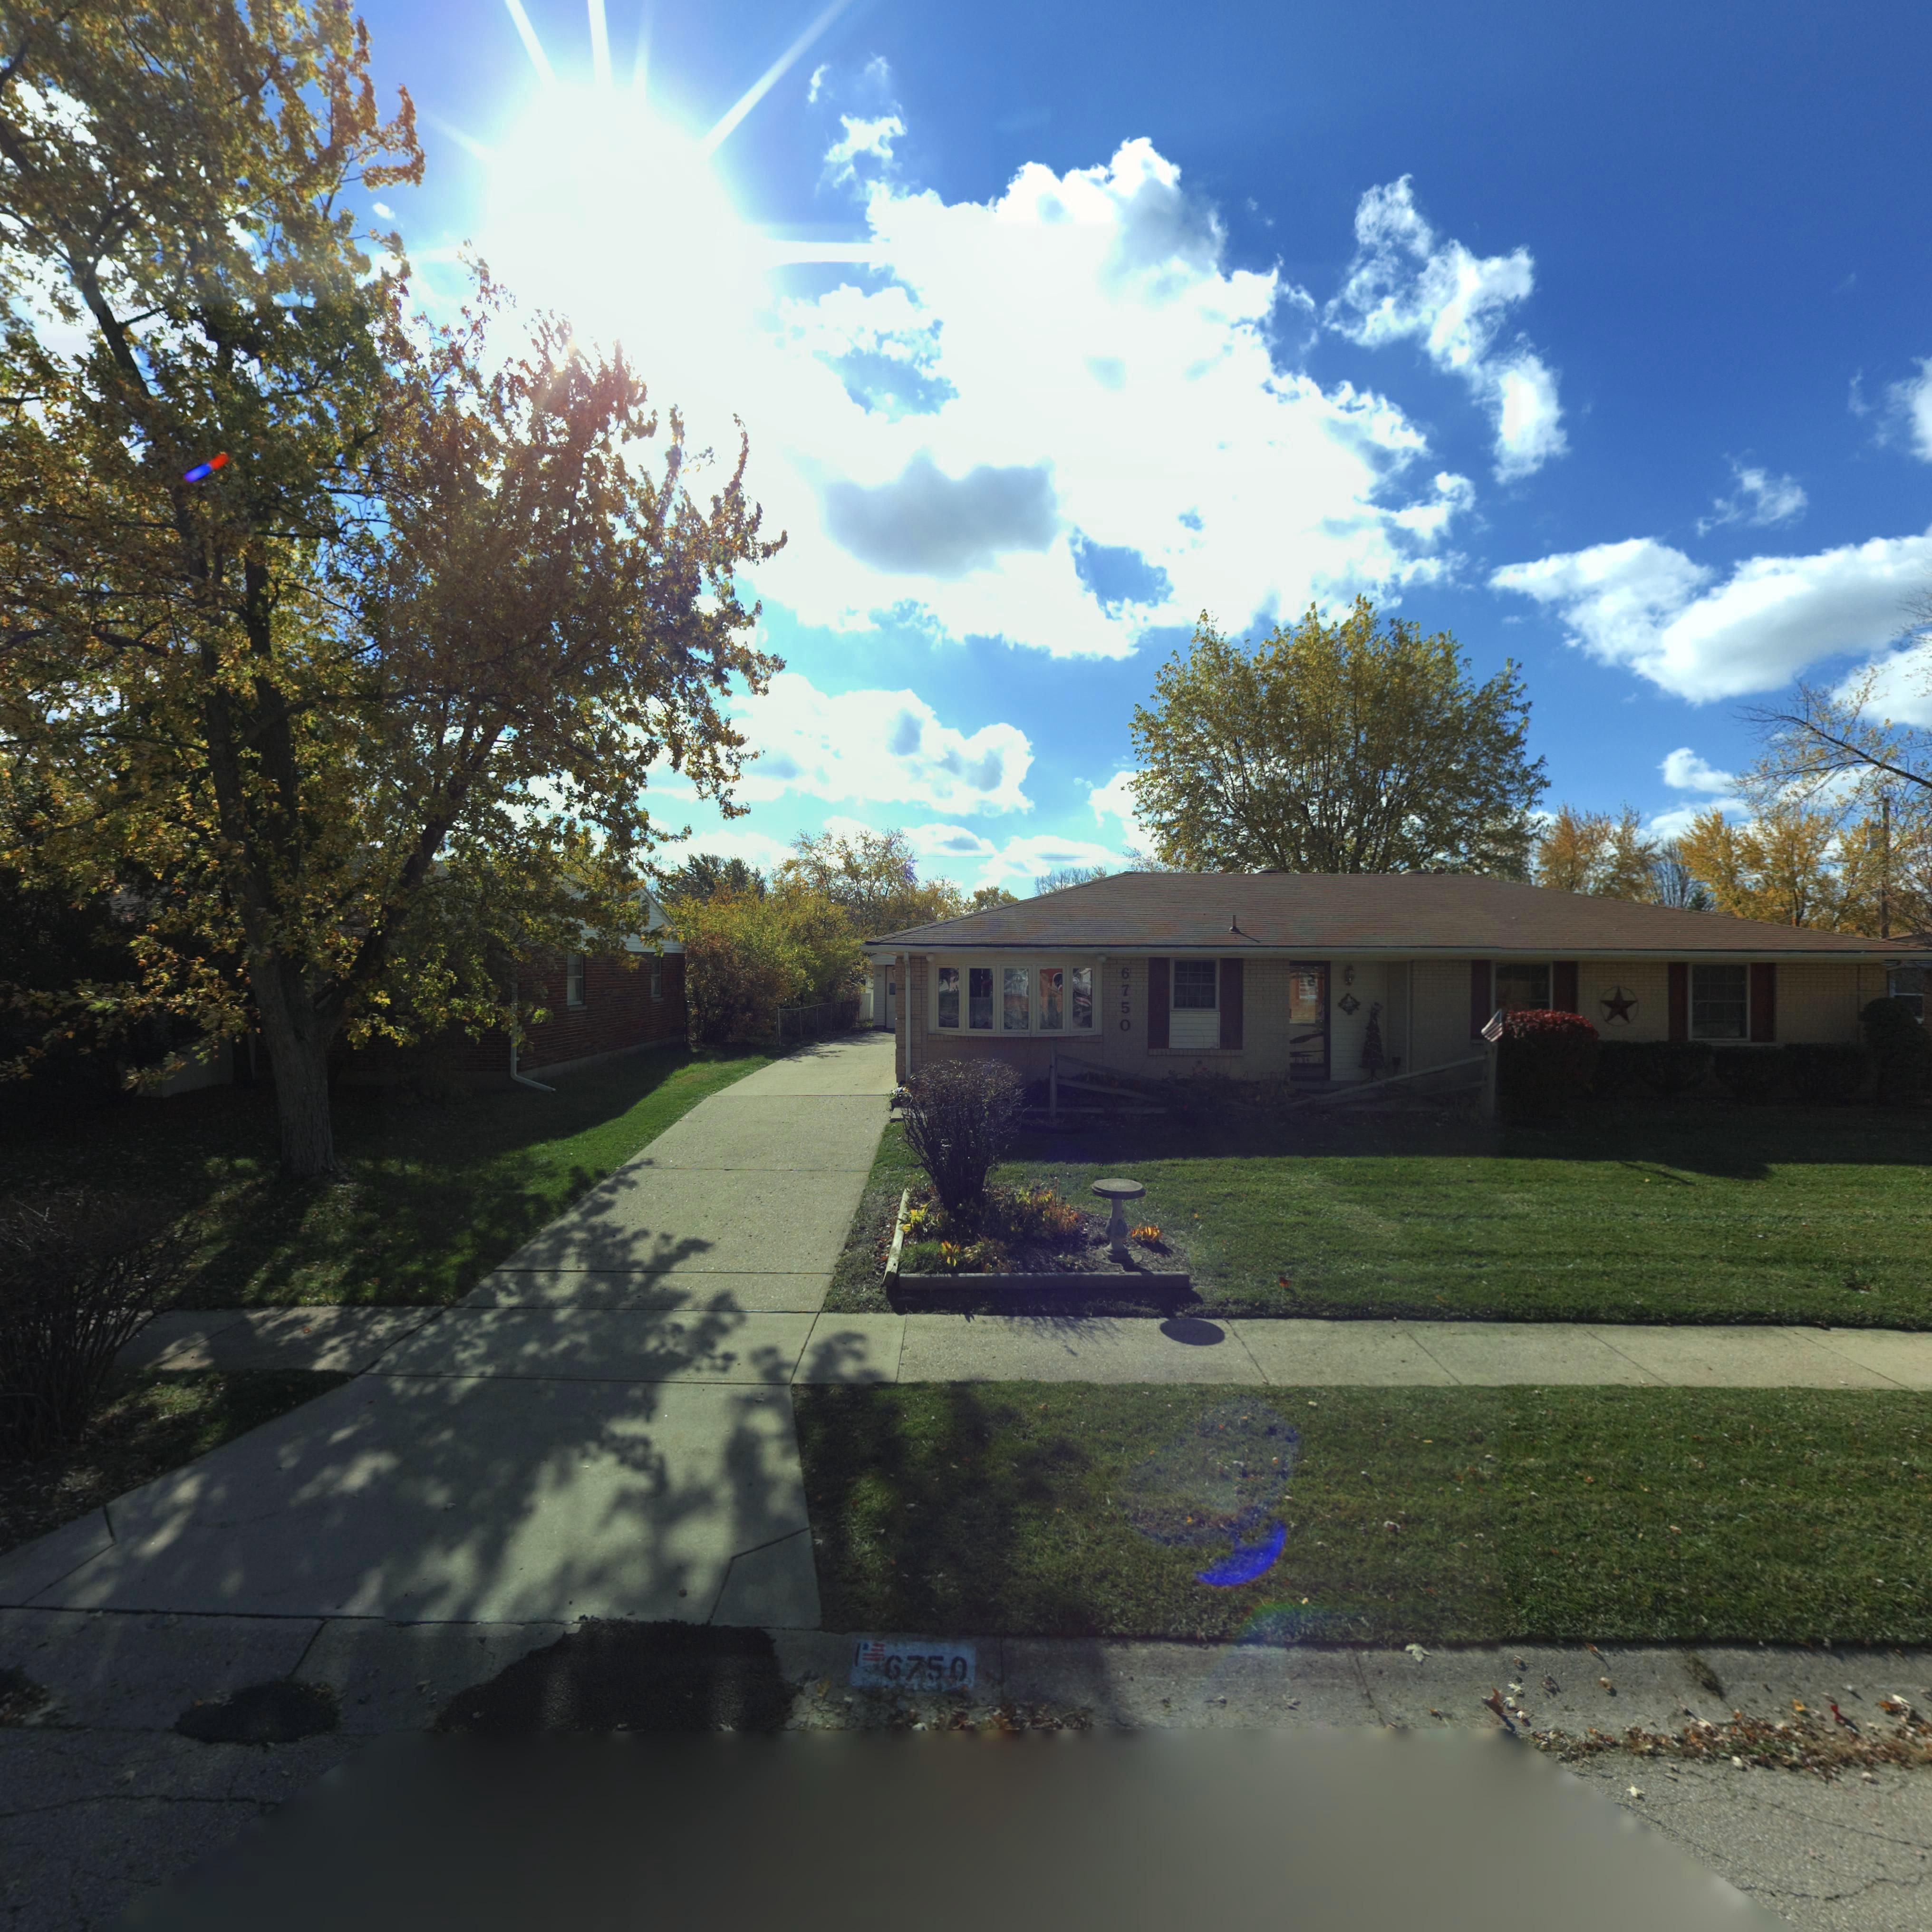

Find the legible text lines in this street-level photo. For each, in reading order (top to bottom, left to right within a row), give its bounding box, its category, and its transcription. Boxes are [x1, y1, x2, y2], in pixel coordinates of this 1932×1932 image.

[1119, 966, 1131, 1032] StreetNumber: 6750
[882, 1653, 967, 1683] StreetNumber: 6750